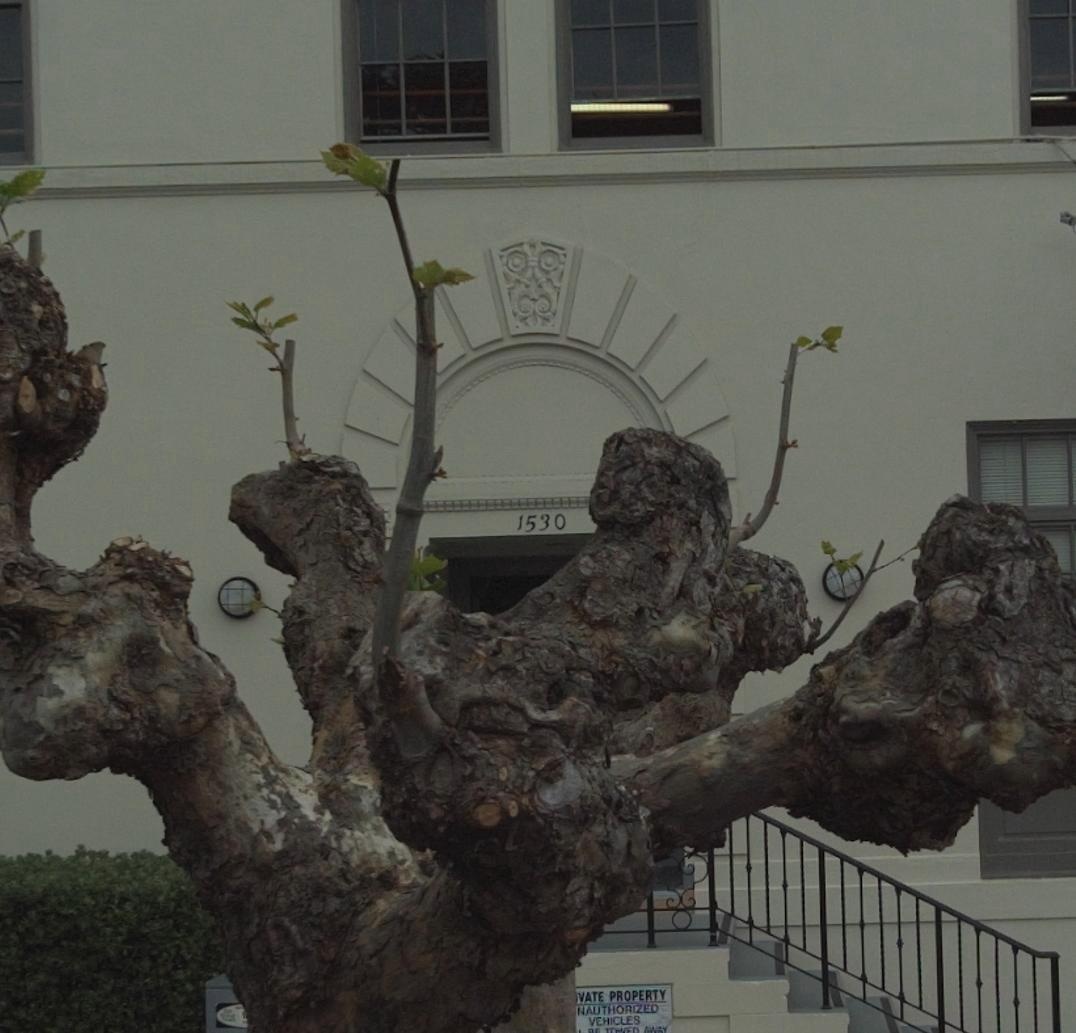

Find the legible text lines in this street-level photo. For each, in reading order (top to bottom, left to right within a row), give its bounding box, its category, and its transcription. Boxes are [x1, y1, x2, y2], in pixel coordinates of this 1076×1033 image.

[516, 512, 567, 533] StreetNumber: 1530
[577, 987, 669, 1006] None: VATE PROPERTY
[576, 1002, 660, 1018] None: NAUTHORIZED
[586, 1013, 640, 1029] None: VEHICLES